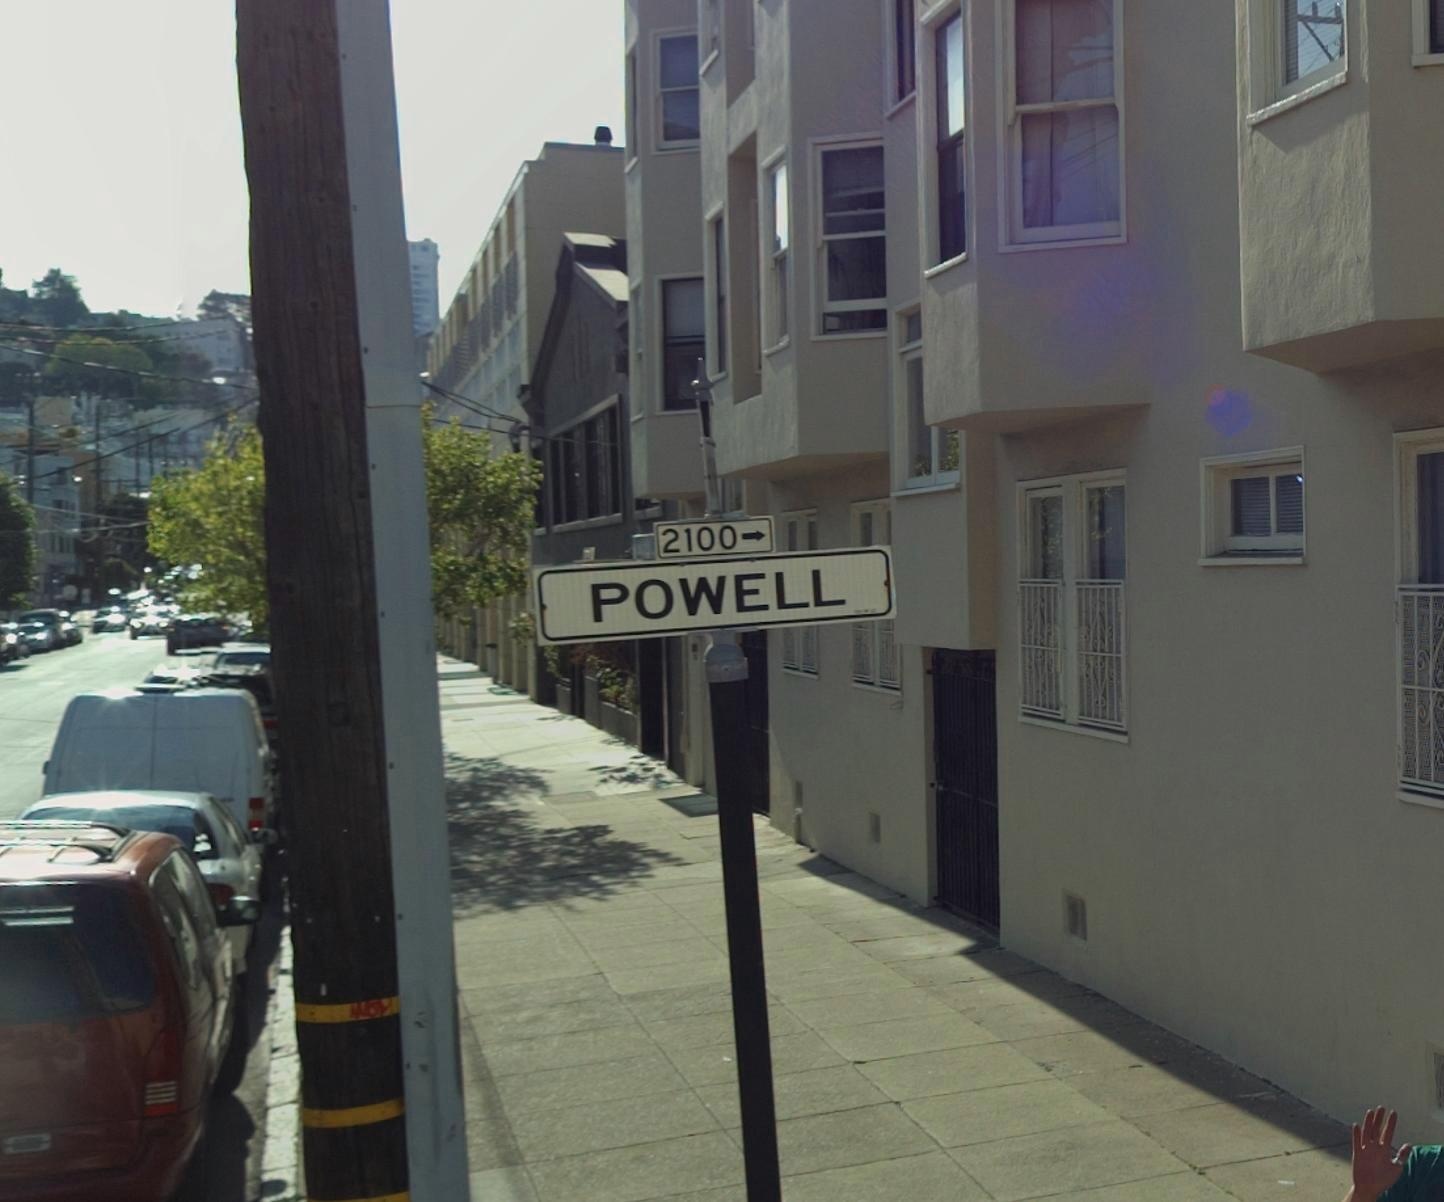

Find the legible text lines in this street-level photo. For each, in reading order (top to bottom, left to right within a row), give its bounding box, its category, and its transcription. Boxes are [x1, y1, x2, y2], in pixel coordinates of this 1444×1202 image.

[659, 521, 771, 557] StreetNumber: 2100->
[585, 563, 853, 628] StreetName: POWELL